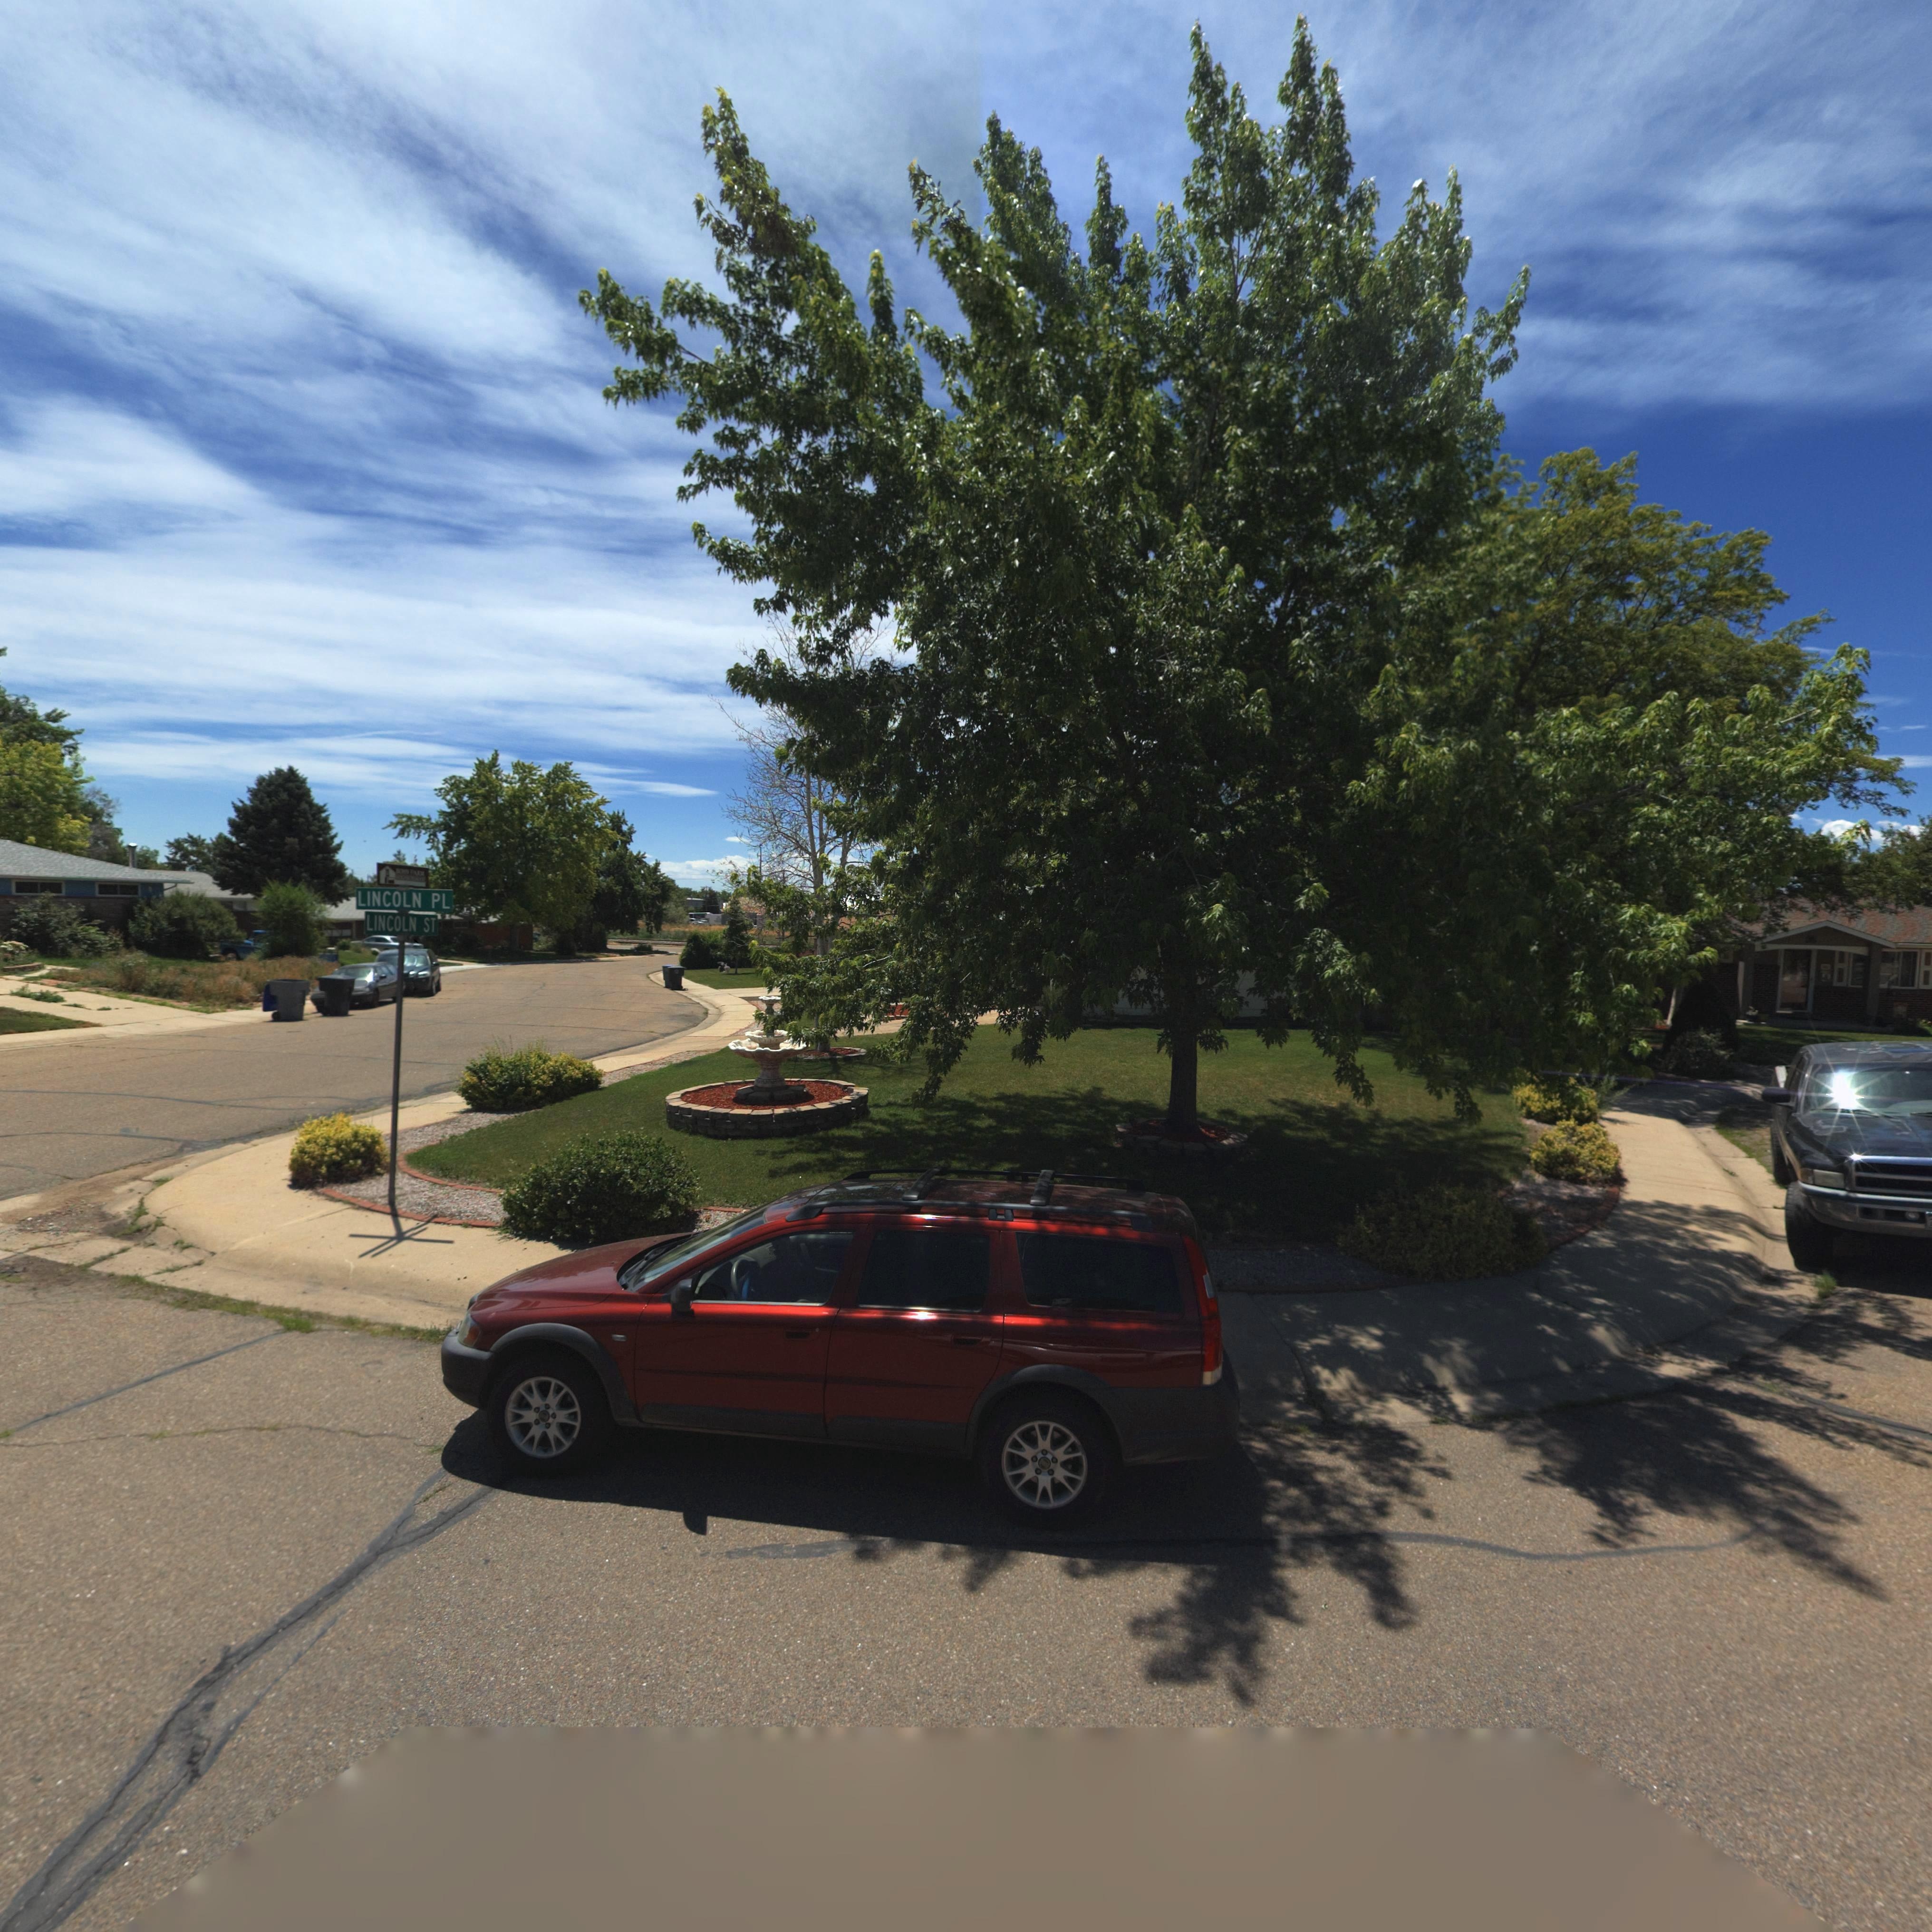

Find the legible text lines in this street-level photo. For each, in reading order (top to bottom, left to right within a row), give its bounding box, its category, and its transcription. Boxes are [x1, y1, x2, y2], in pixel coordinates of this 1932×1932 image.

[357, 890, 450, 909] StreetName: LINCOLN PL
[366, 914, 436, 933] StreetName: LINCOLN ST